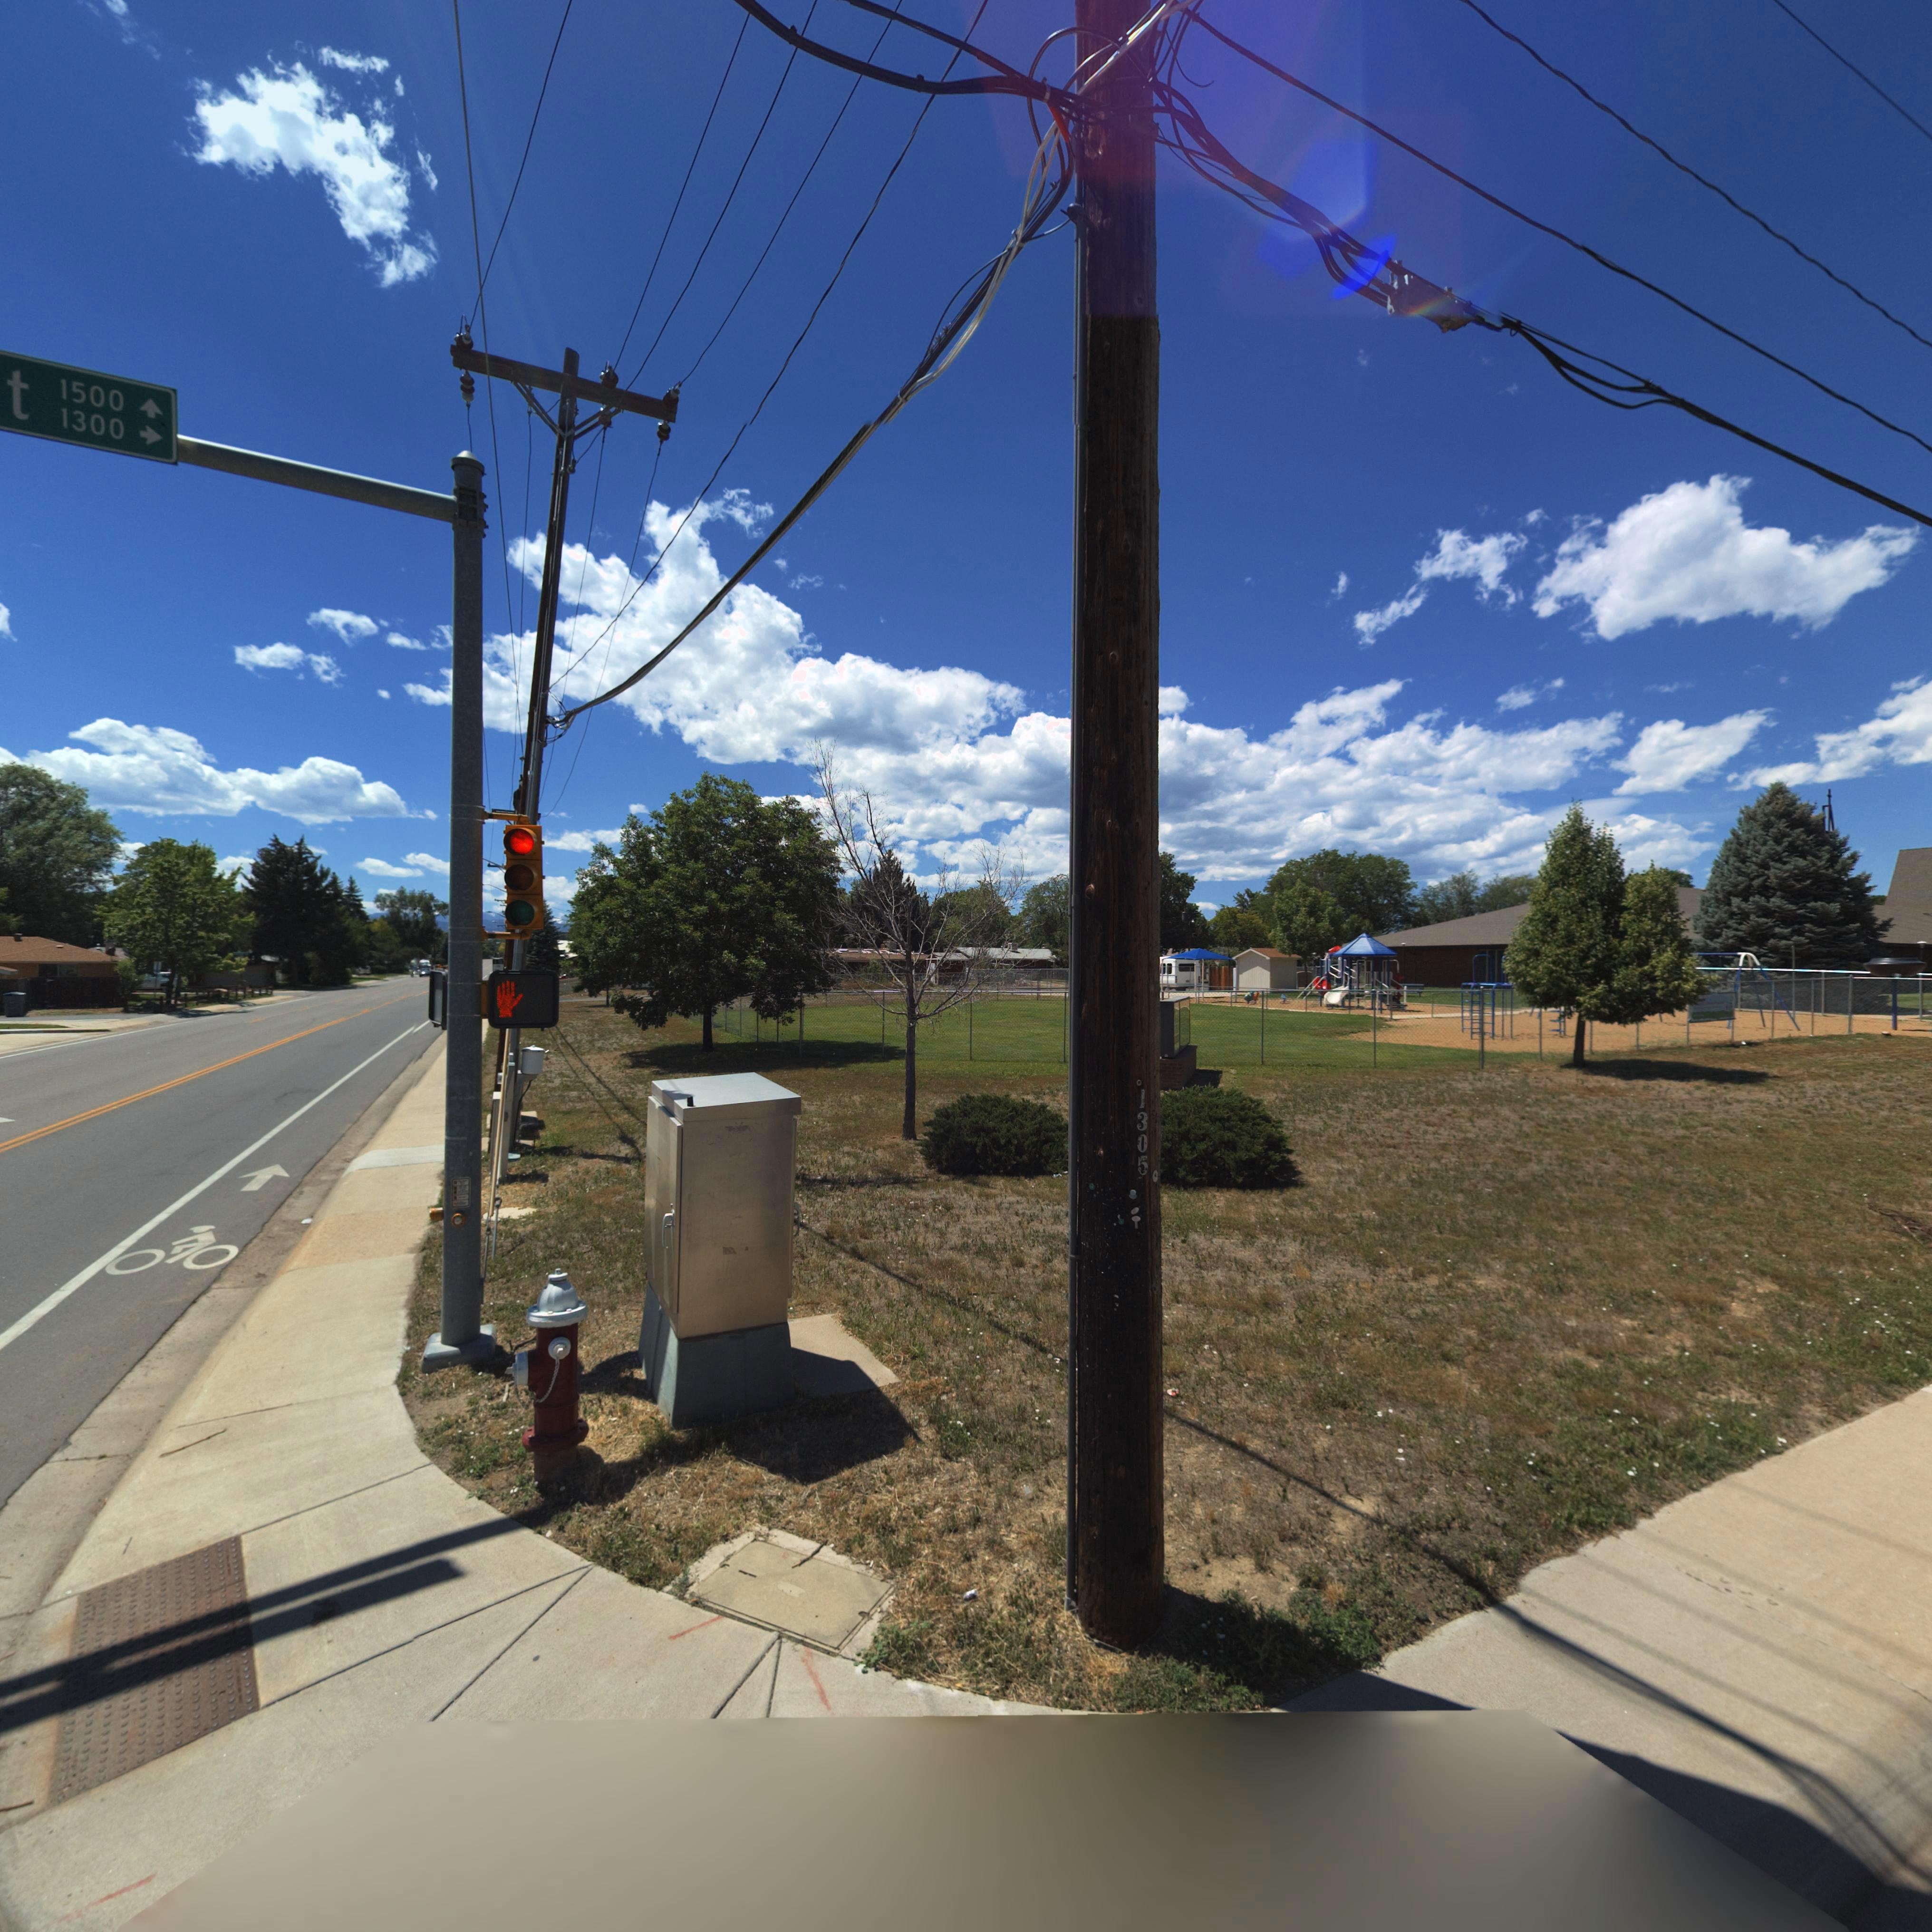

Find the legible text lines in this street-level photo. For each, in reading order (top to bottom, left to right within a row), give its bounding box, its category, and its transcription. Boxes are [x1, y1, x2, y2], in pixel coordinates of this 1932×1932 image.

[7, 369, 30, 421] StreetName: t
[59, 378, 125, 412] StreetNumberRange: 1500
[60, 407, 166, 445] StreetNumberRange: 1300 ->